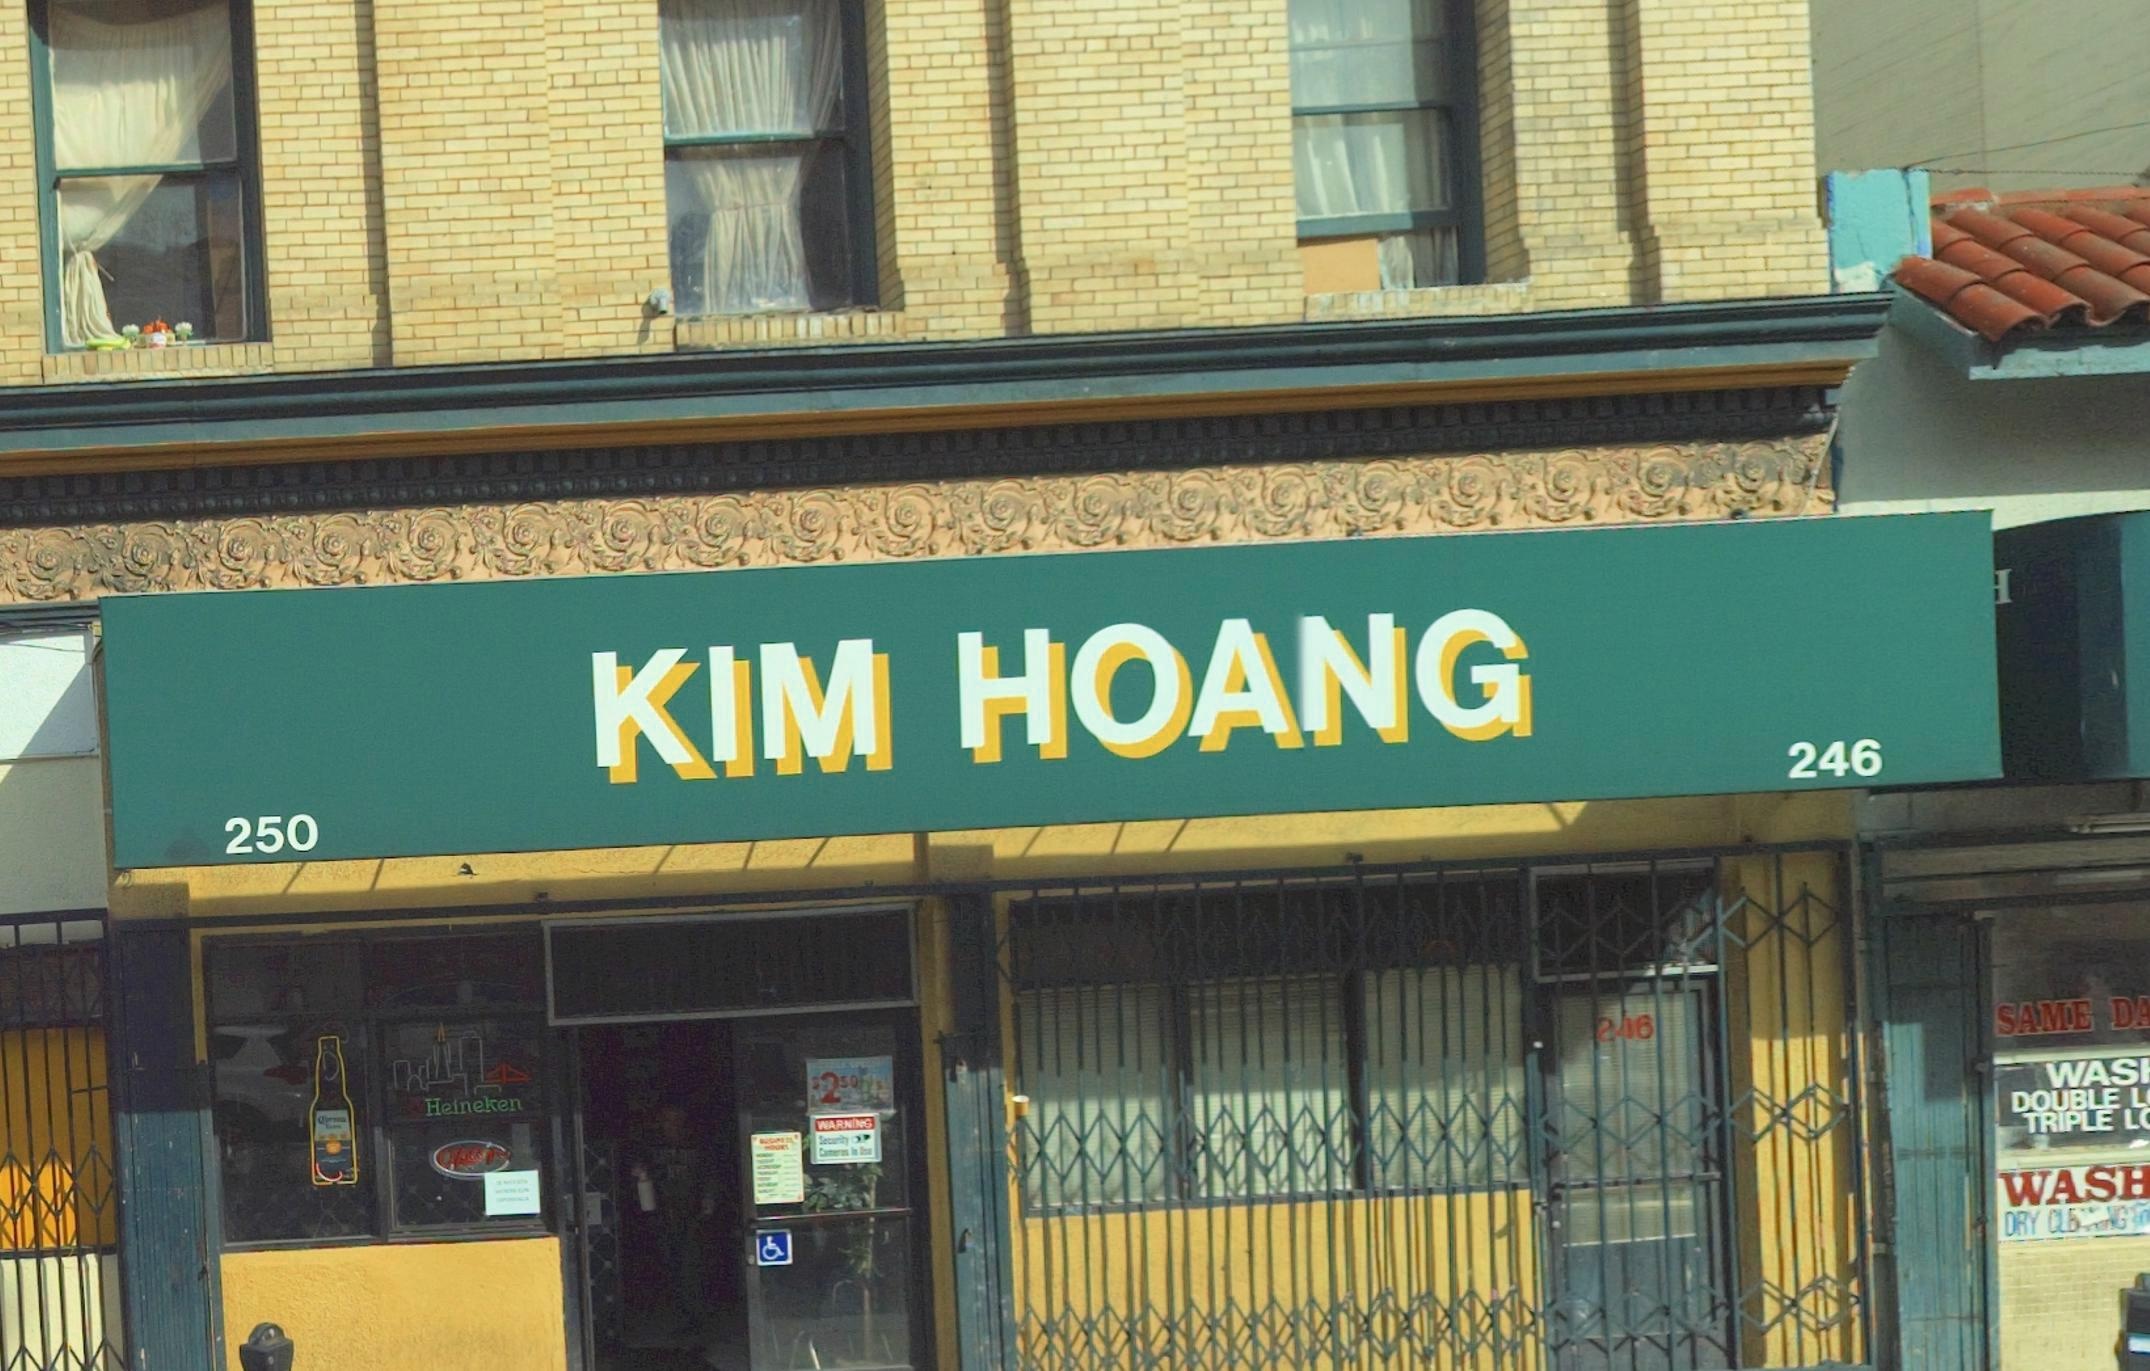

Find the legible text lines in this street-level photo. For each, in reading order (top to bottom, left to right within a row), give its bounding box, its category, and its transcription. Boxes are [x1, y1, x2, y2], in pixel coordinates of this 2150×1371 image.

[586, 604, 1523, 771] BusinessName: KIM HOANG
[1784, 735, 1887, 783] None: 246
[220, 809, 324, 860] None: 250
[1592, 1010, 1657, 1047] None: 2*6
[1992, 994, 2137, 1038] None: SAME D
[422, 1093, 528, 1121] None: Heineken
[817, 1069, 844, 1106] None: 2
[813, 1114, 877, 1134] None: WARNING
[839, 1072, 861, 1091] None: 50
[2009, 1084, 2149, 1115] None: DOUBLE L
[2019, 1105, 2143, 1137] None: TRIPLE L
[2039, 1056, 2141, 1091] None: WAS
[435, 1145, 472, 1172] None: op
[1996, 1162, 2150, 1210] None: WASH
[2000, 1202, 2133, 1241] None: DRY CL*****G